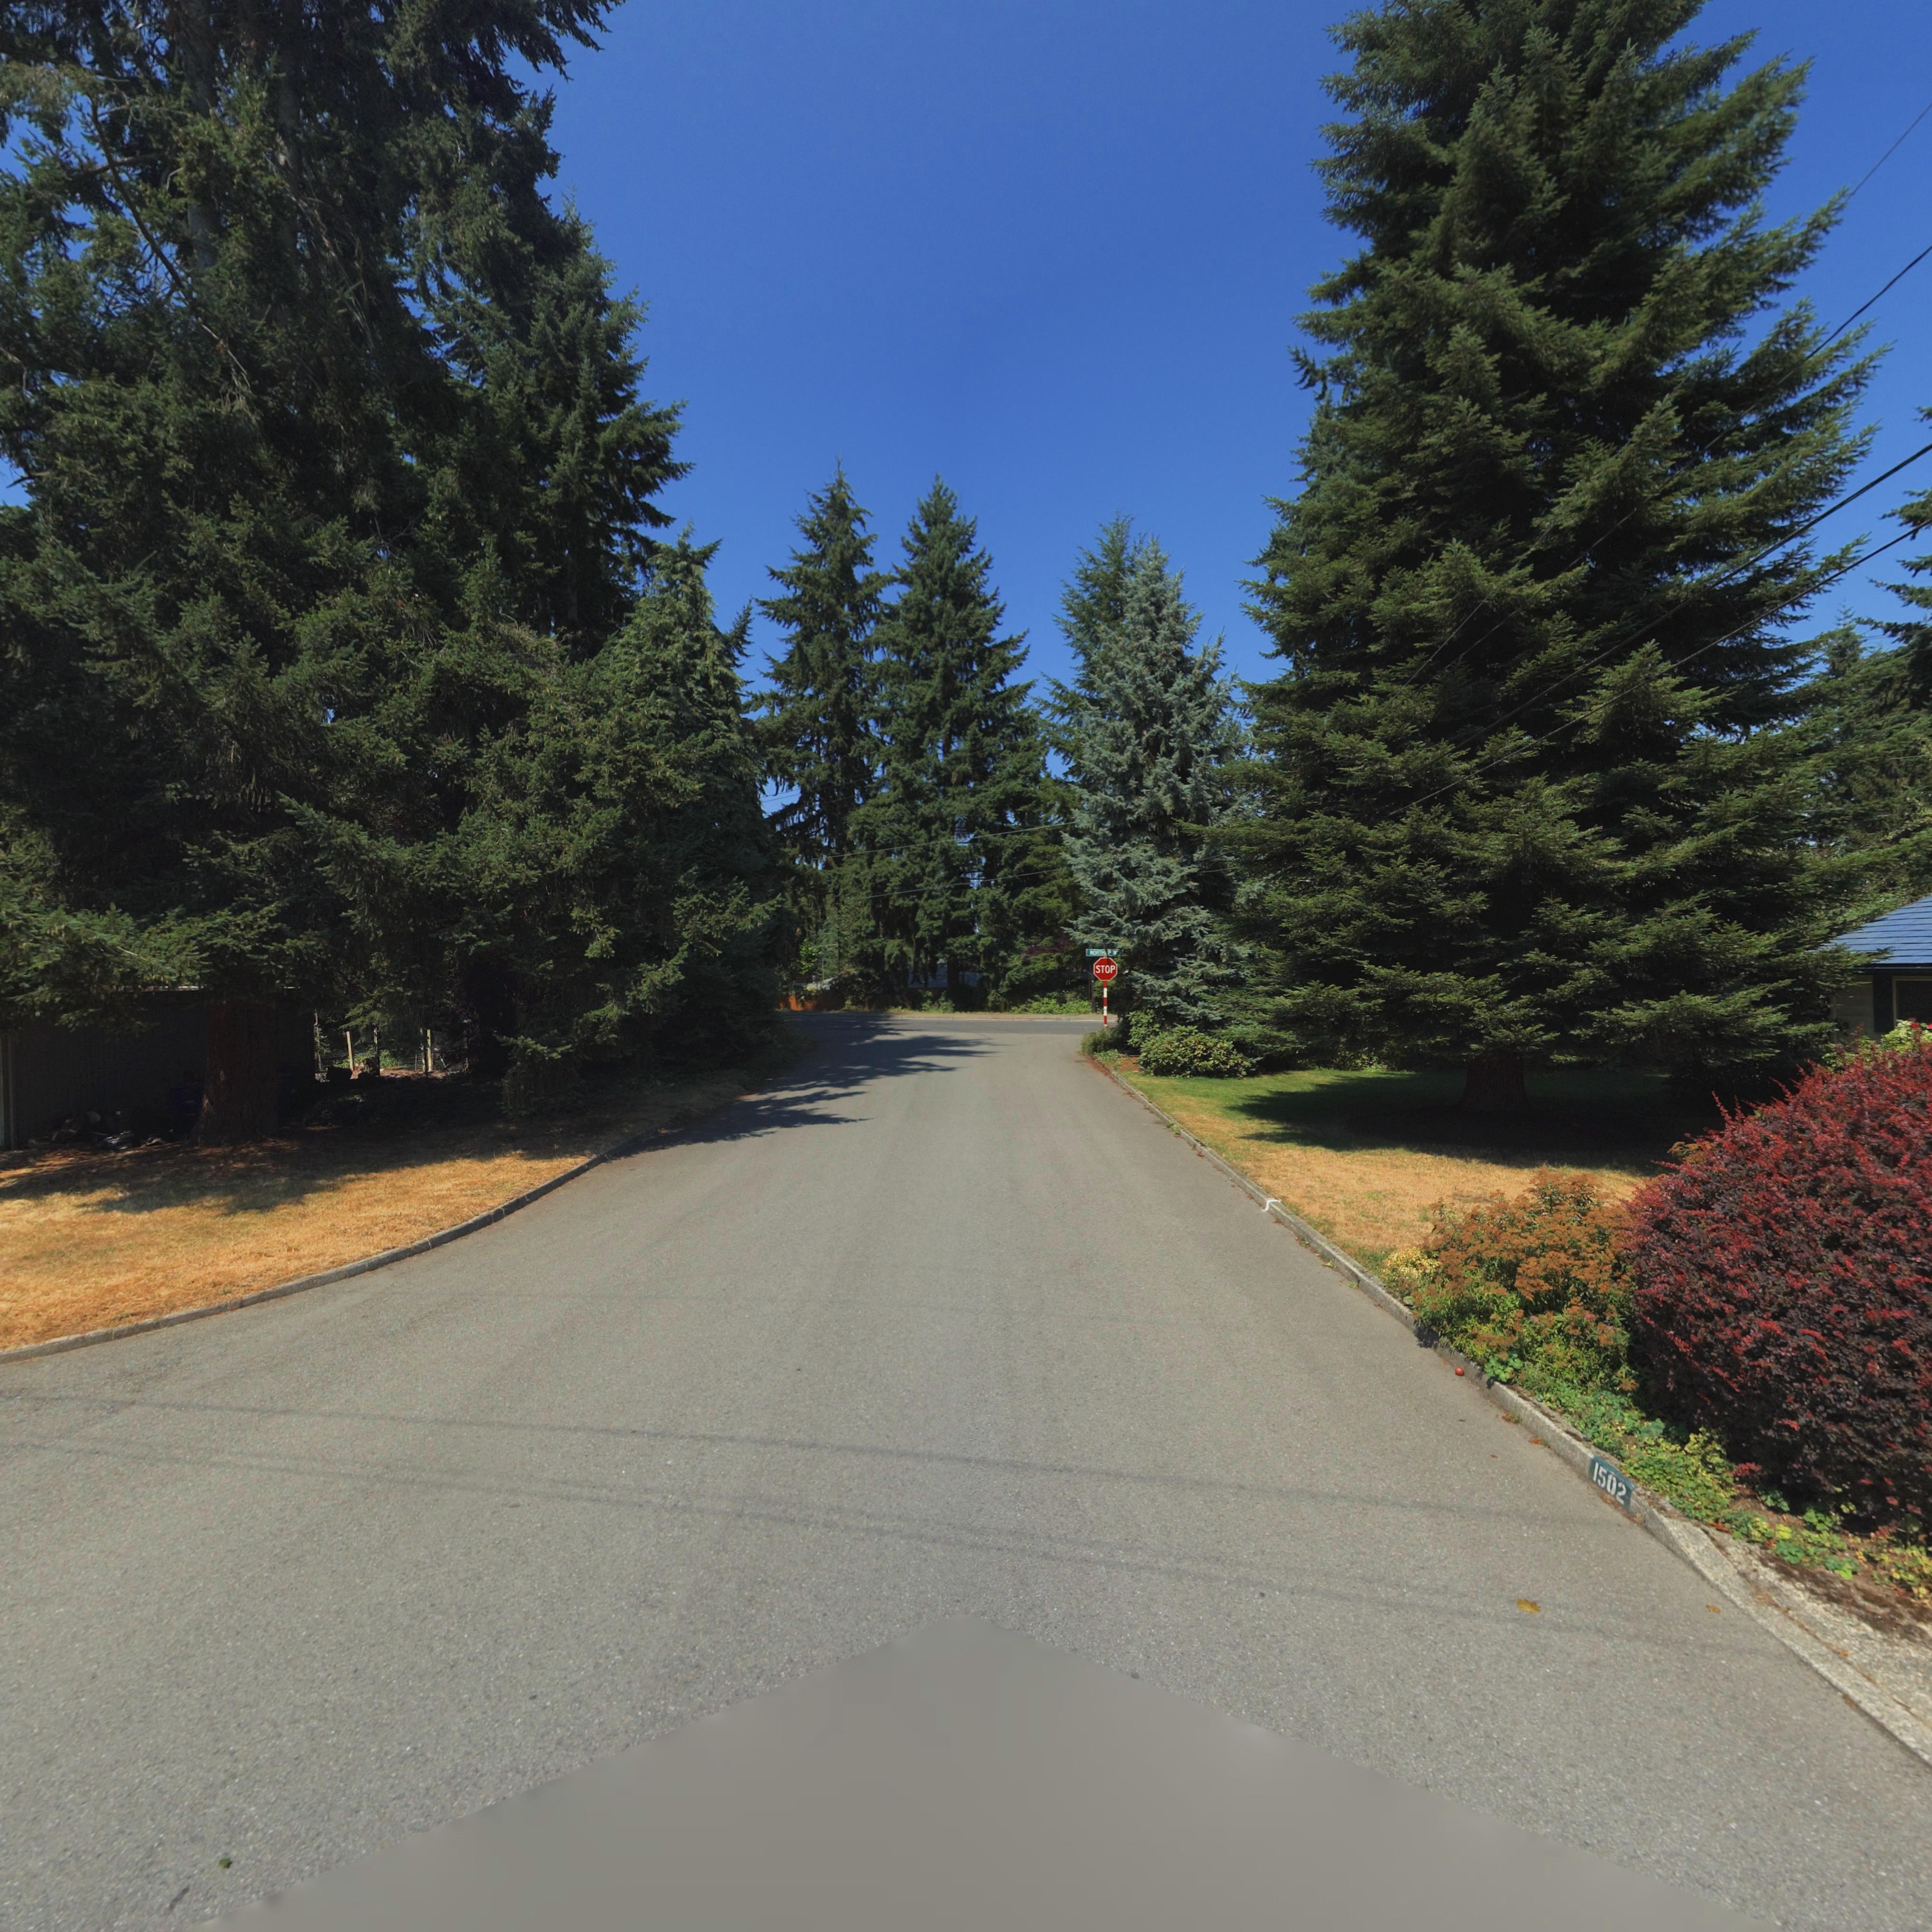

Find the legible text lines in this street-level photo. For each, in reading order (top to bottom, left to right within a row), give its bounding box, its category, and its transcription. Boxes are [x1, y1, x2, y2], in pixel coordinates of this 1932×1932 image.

[1593, 1462, 1627, 1505] StreetNumber: 1502